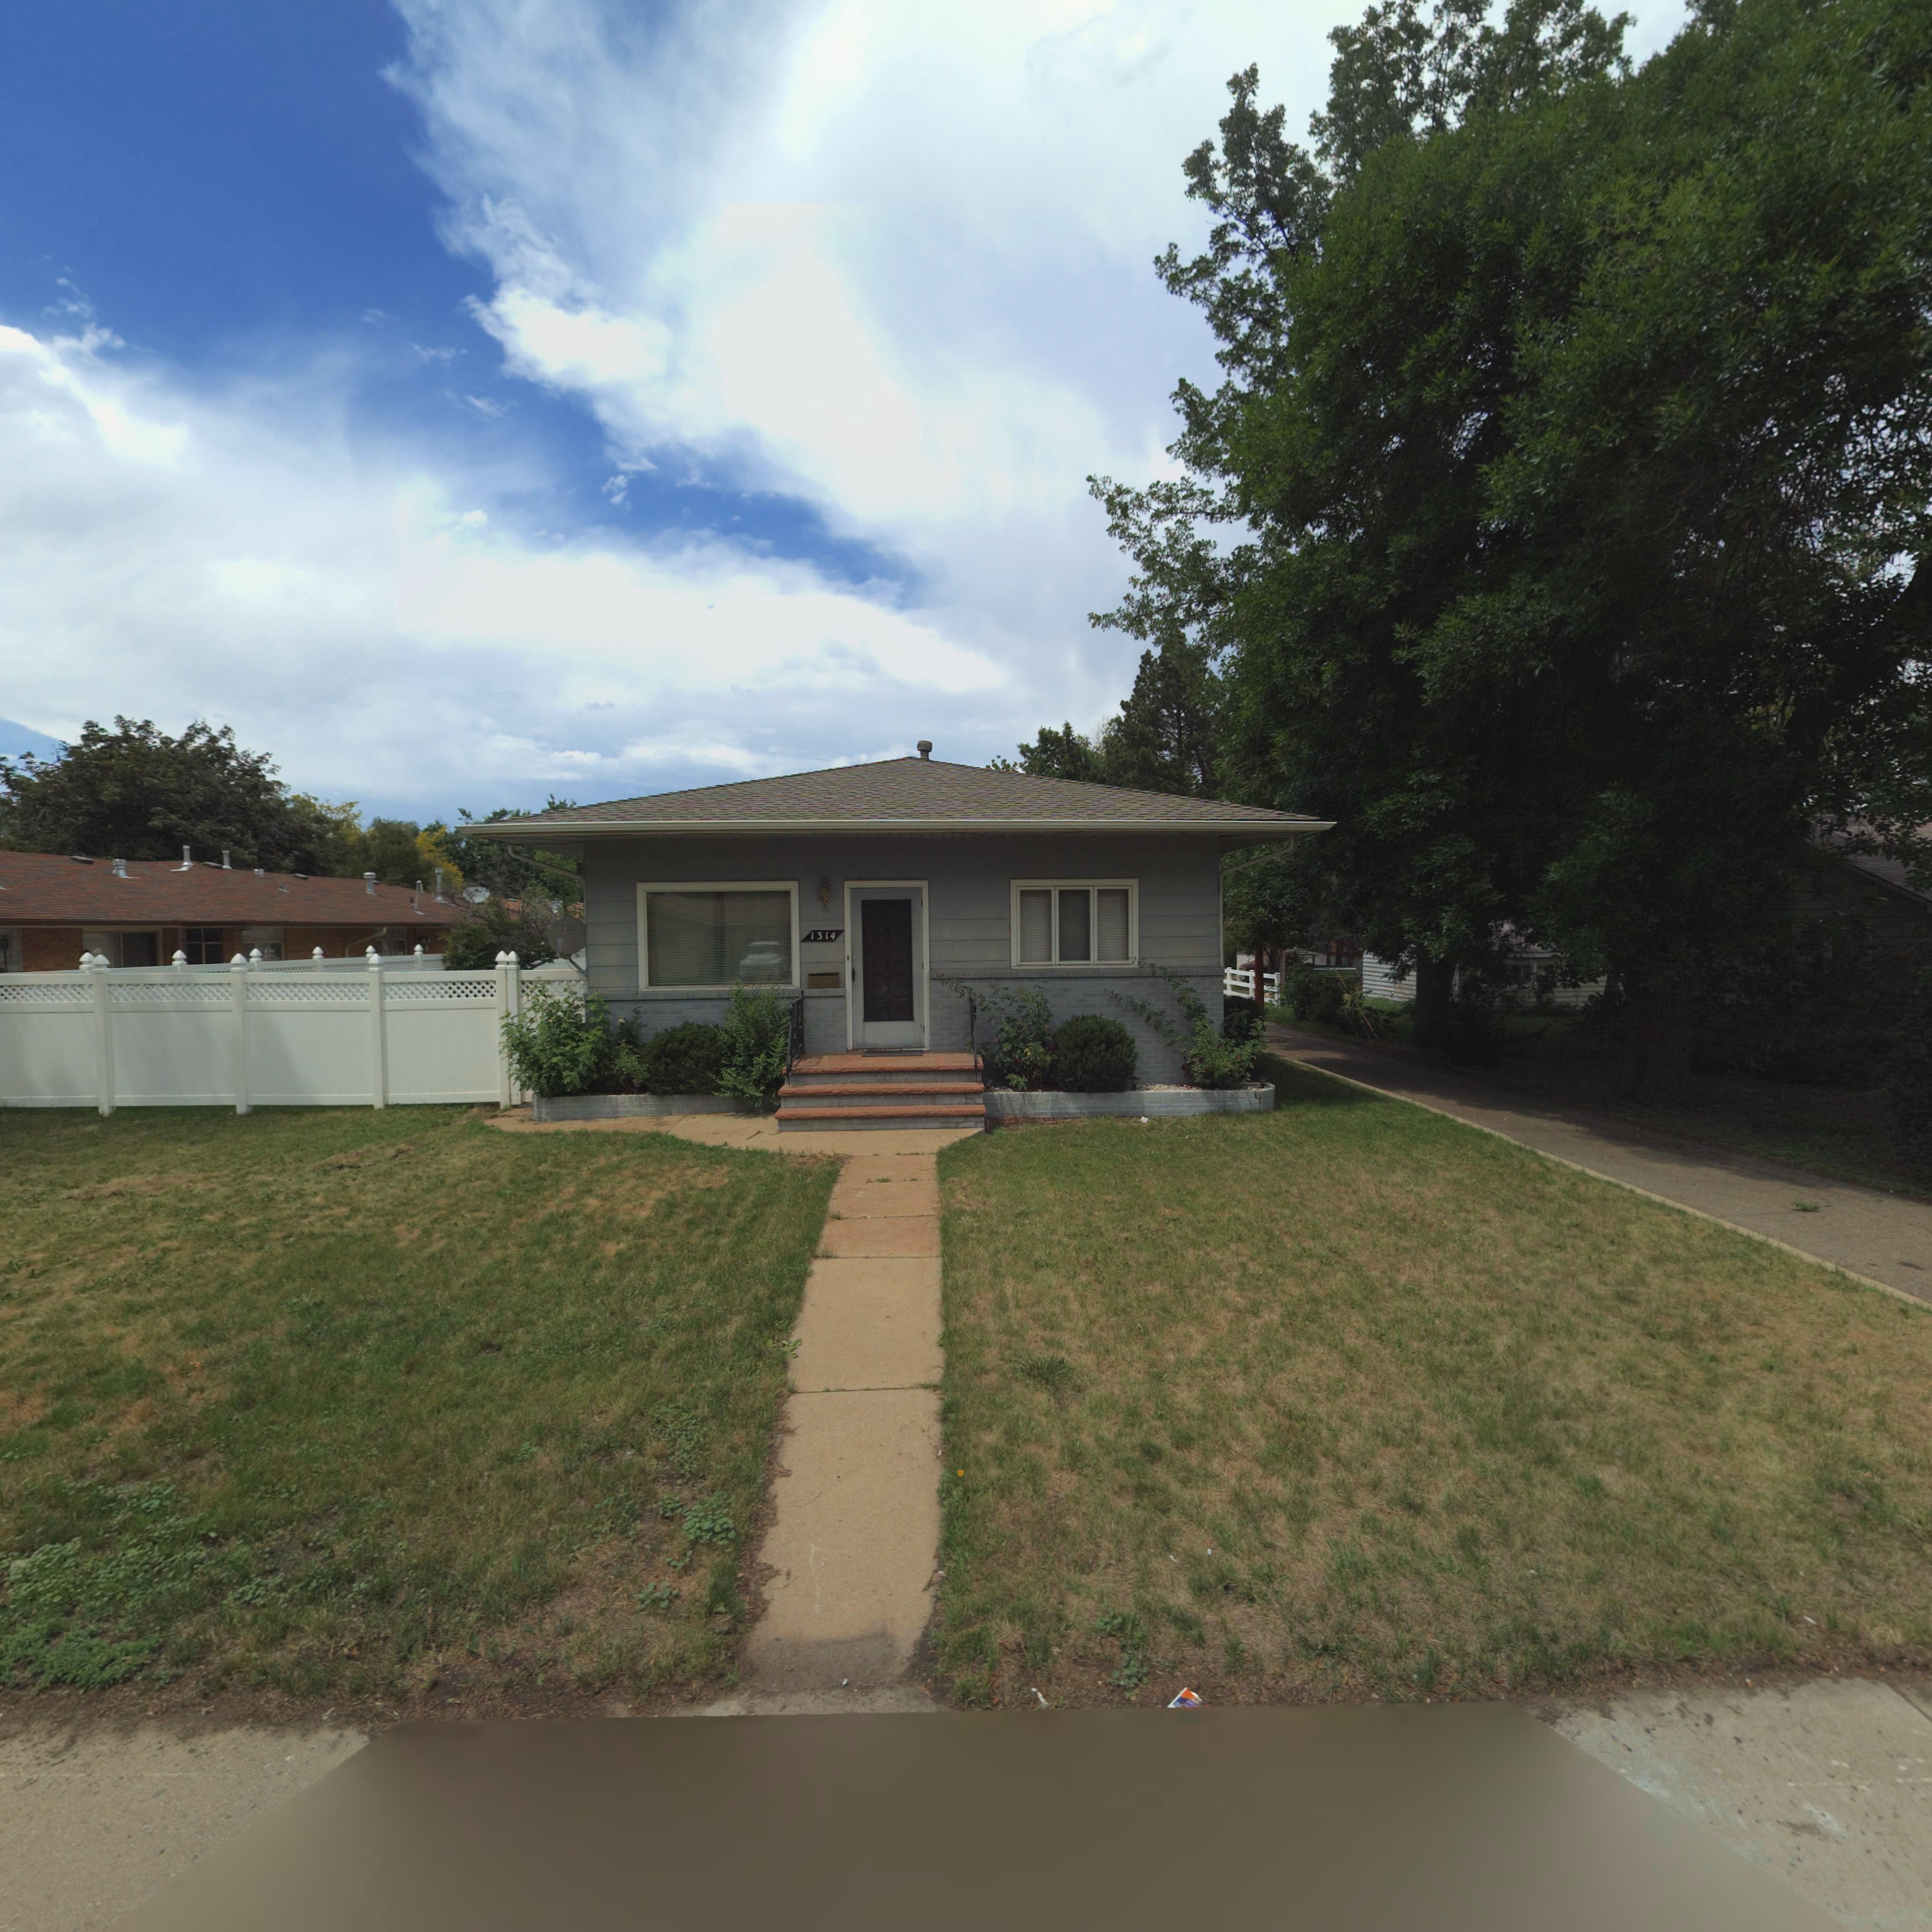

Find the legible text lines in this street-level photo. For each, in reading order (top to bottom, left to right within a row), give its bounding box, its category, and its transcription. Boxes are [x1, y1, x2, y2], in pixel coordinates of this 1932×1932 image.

[811, 931, 836, 940] StreetNumber: 1314